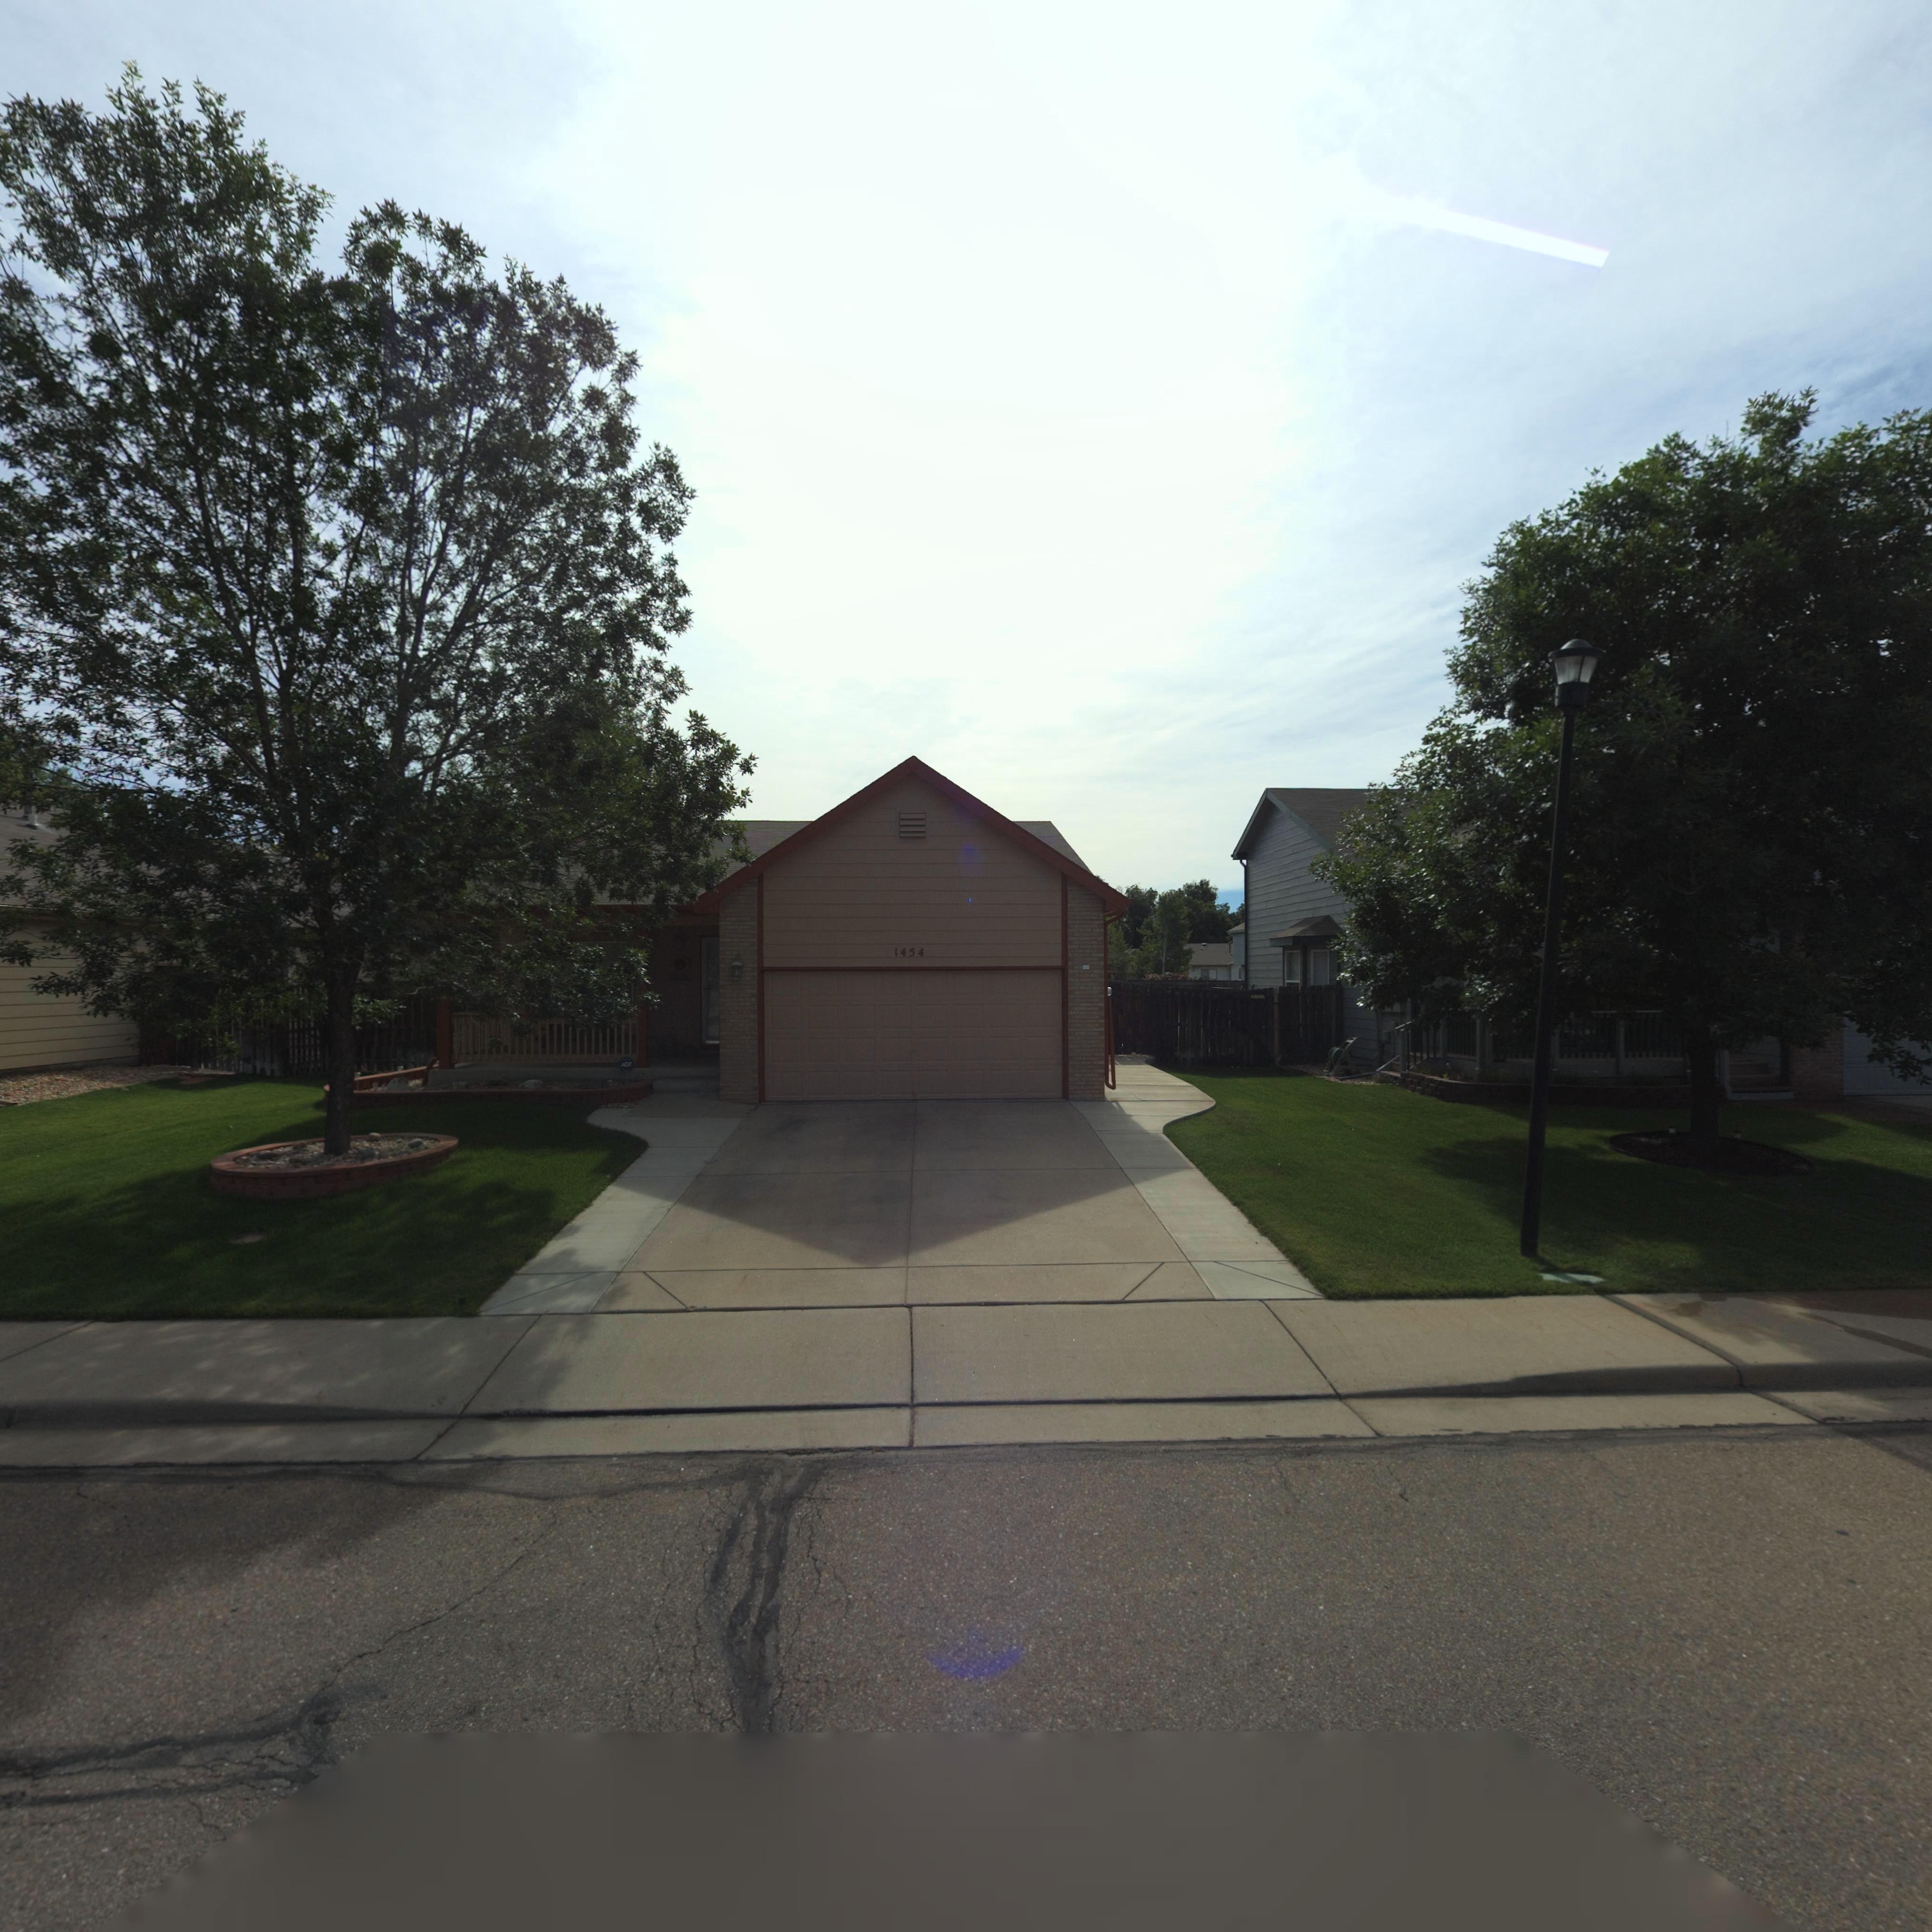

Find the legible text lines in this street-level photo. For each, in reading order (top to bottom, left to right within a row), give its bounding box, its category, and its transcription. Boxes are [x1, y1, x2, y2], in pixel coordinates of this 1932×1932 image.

[895, 947, 924, 957] StreetNumber: 1454